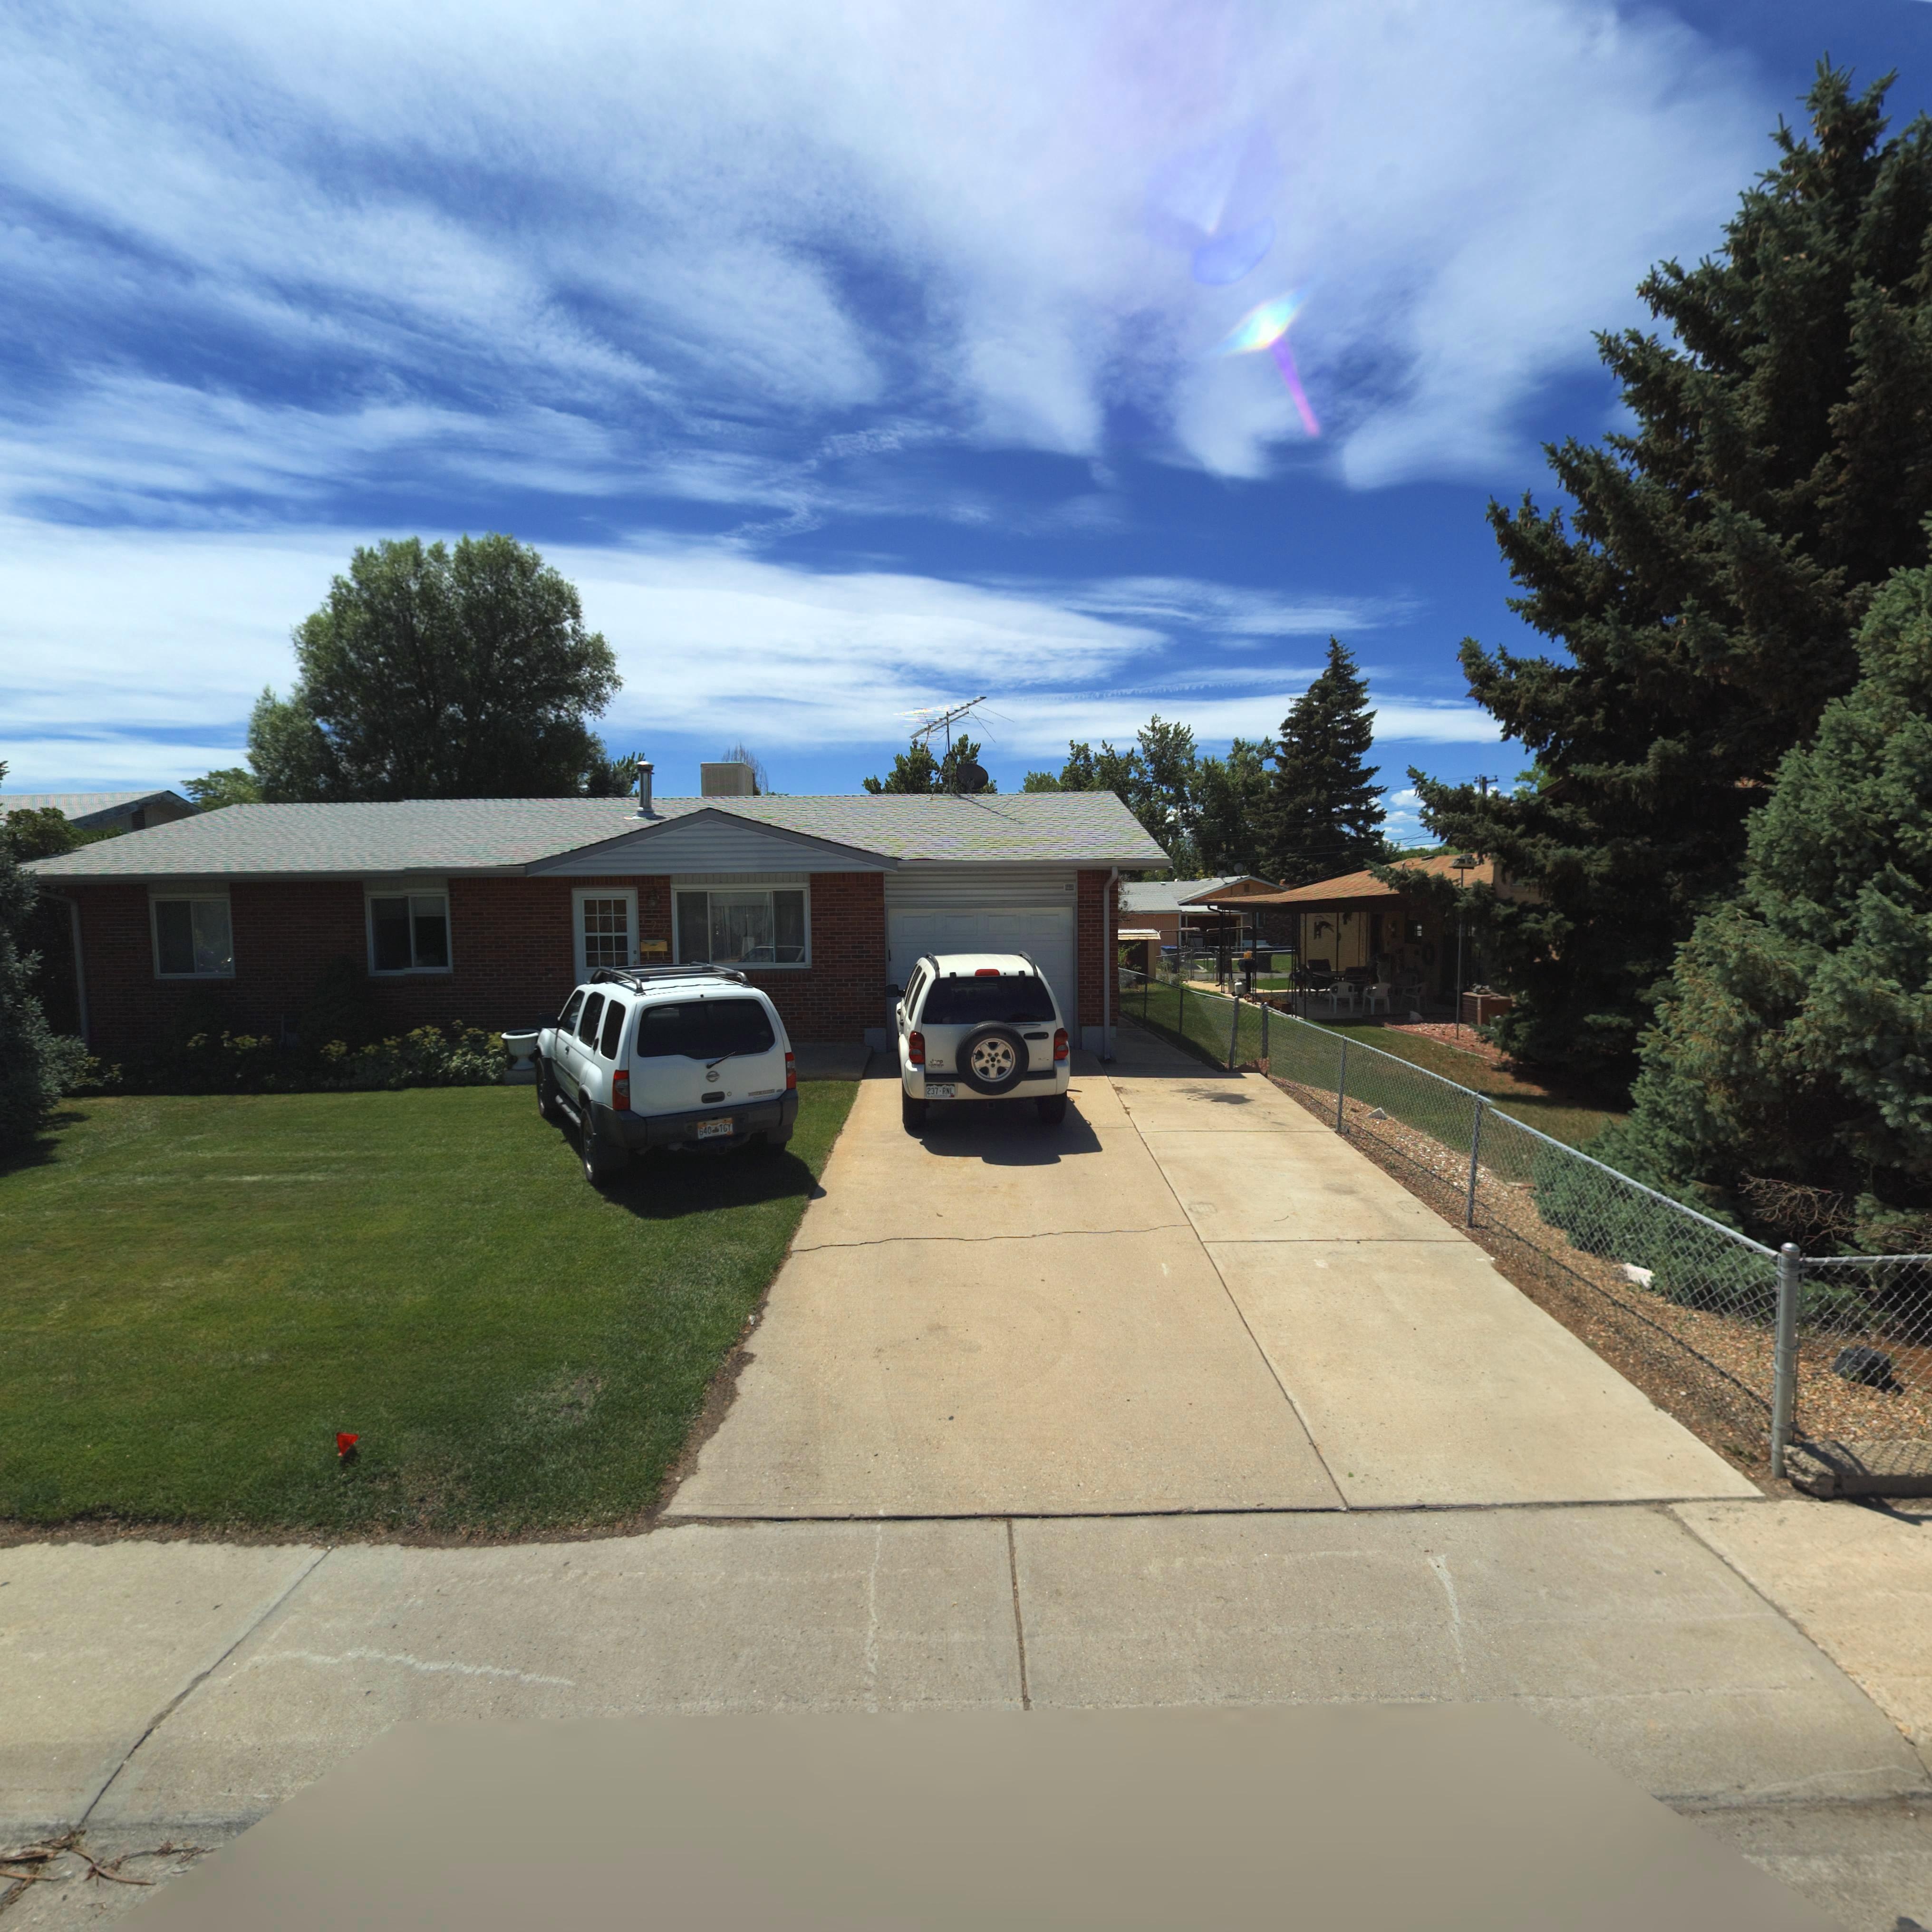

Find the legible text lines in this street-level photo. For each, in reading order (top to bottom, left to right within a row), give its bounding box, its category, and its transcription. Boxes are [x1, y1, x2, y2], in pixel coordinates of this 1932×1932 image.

[641, 915, 667, 934] StreetNumber: 127